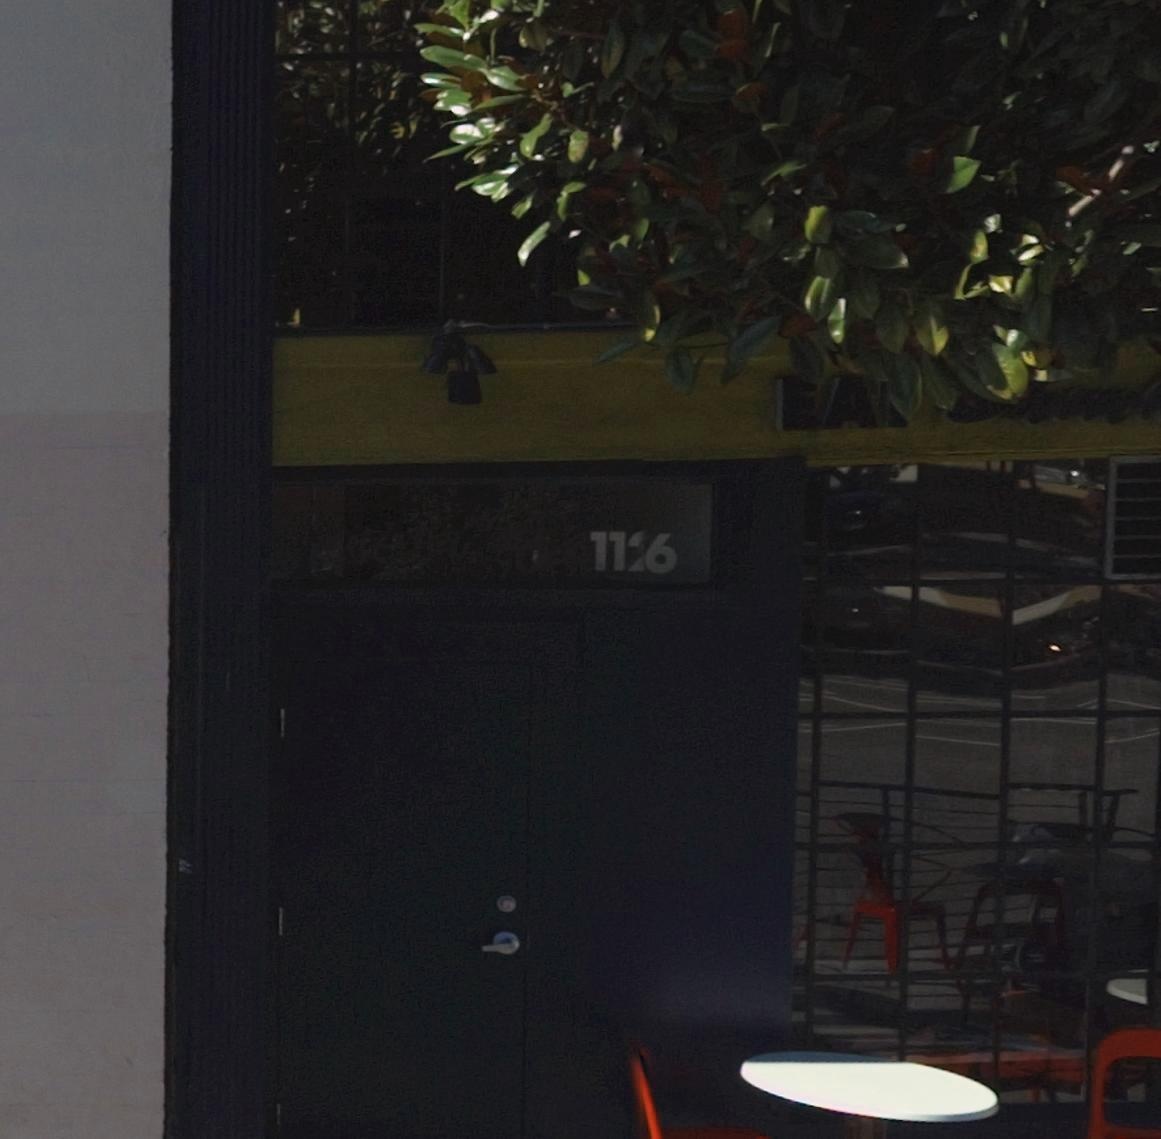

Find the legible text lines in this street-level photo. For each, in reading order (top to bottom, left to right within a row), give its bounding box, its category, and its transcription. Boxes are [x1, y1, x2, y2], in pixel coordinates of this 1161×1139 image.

[780, 369, 886, 435] None: EA
[589, 529, 680, 576] StreetNumber: 11*6